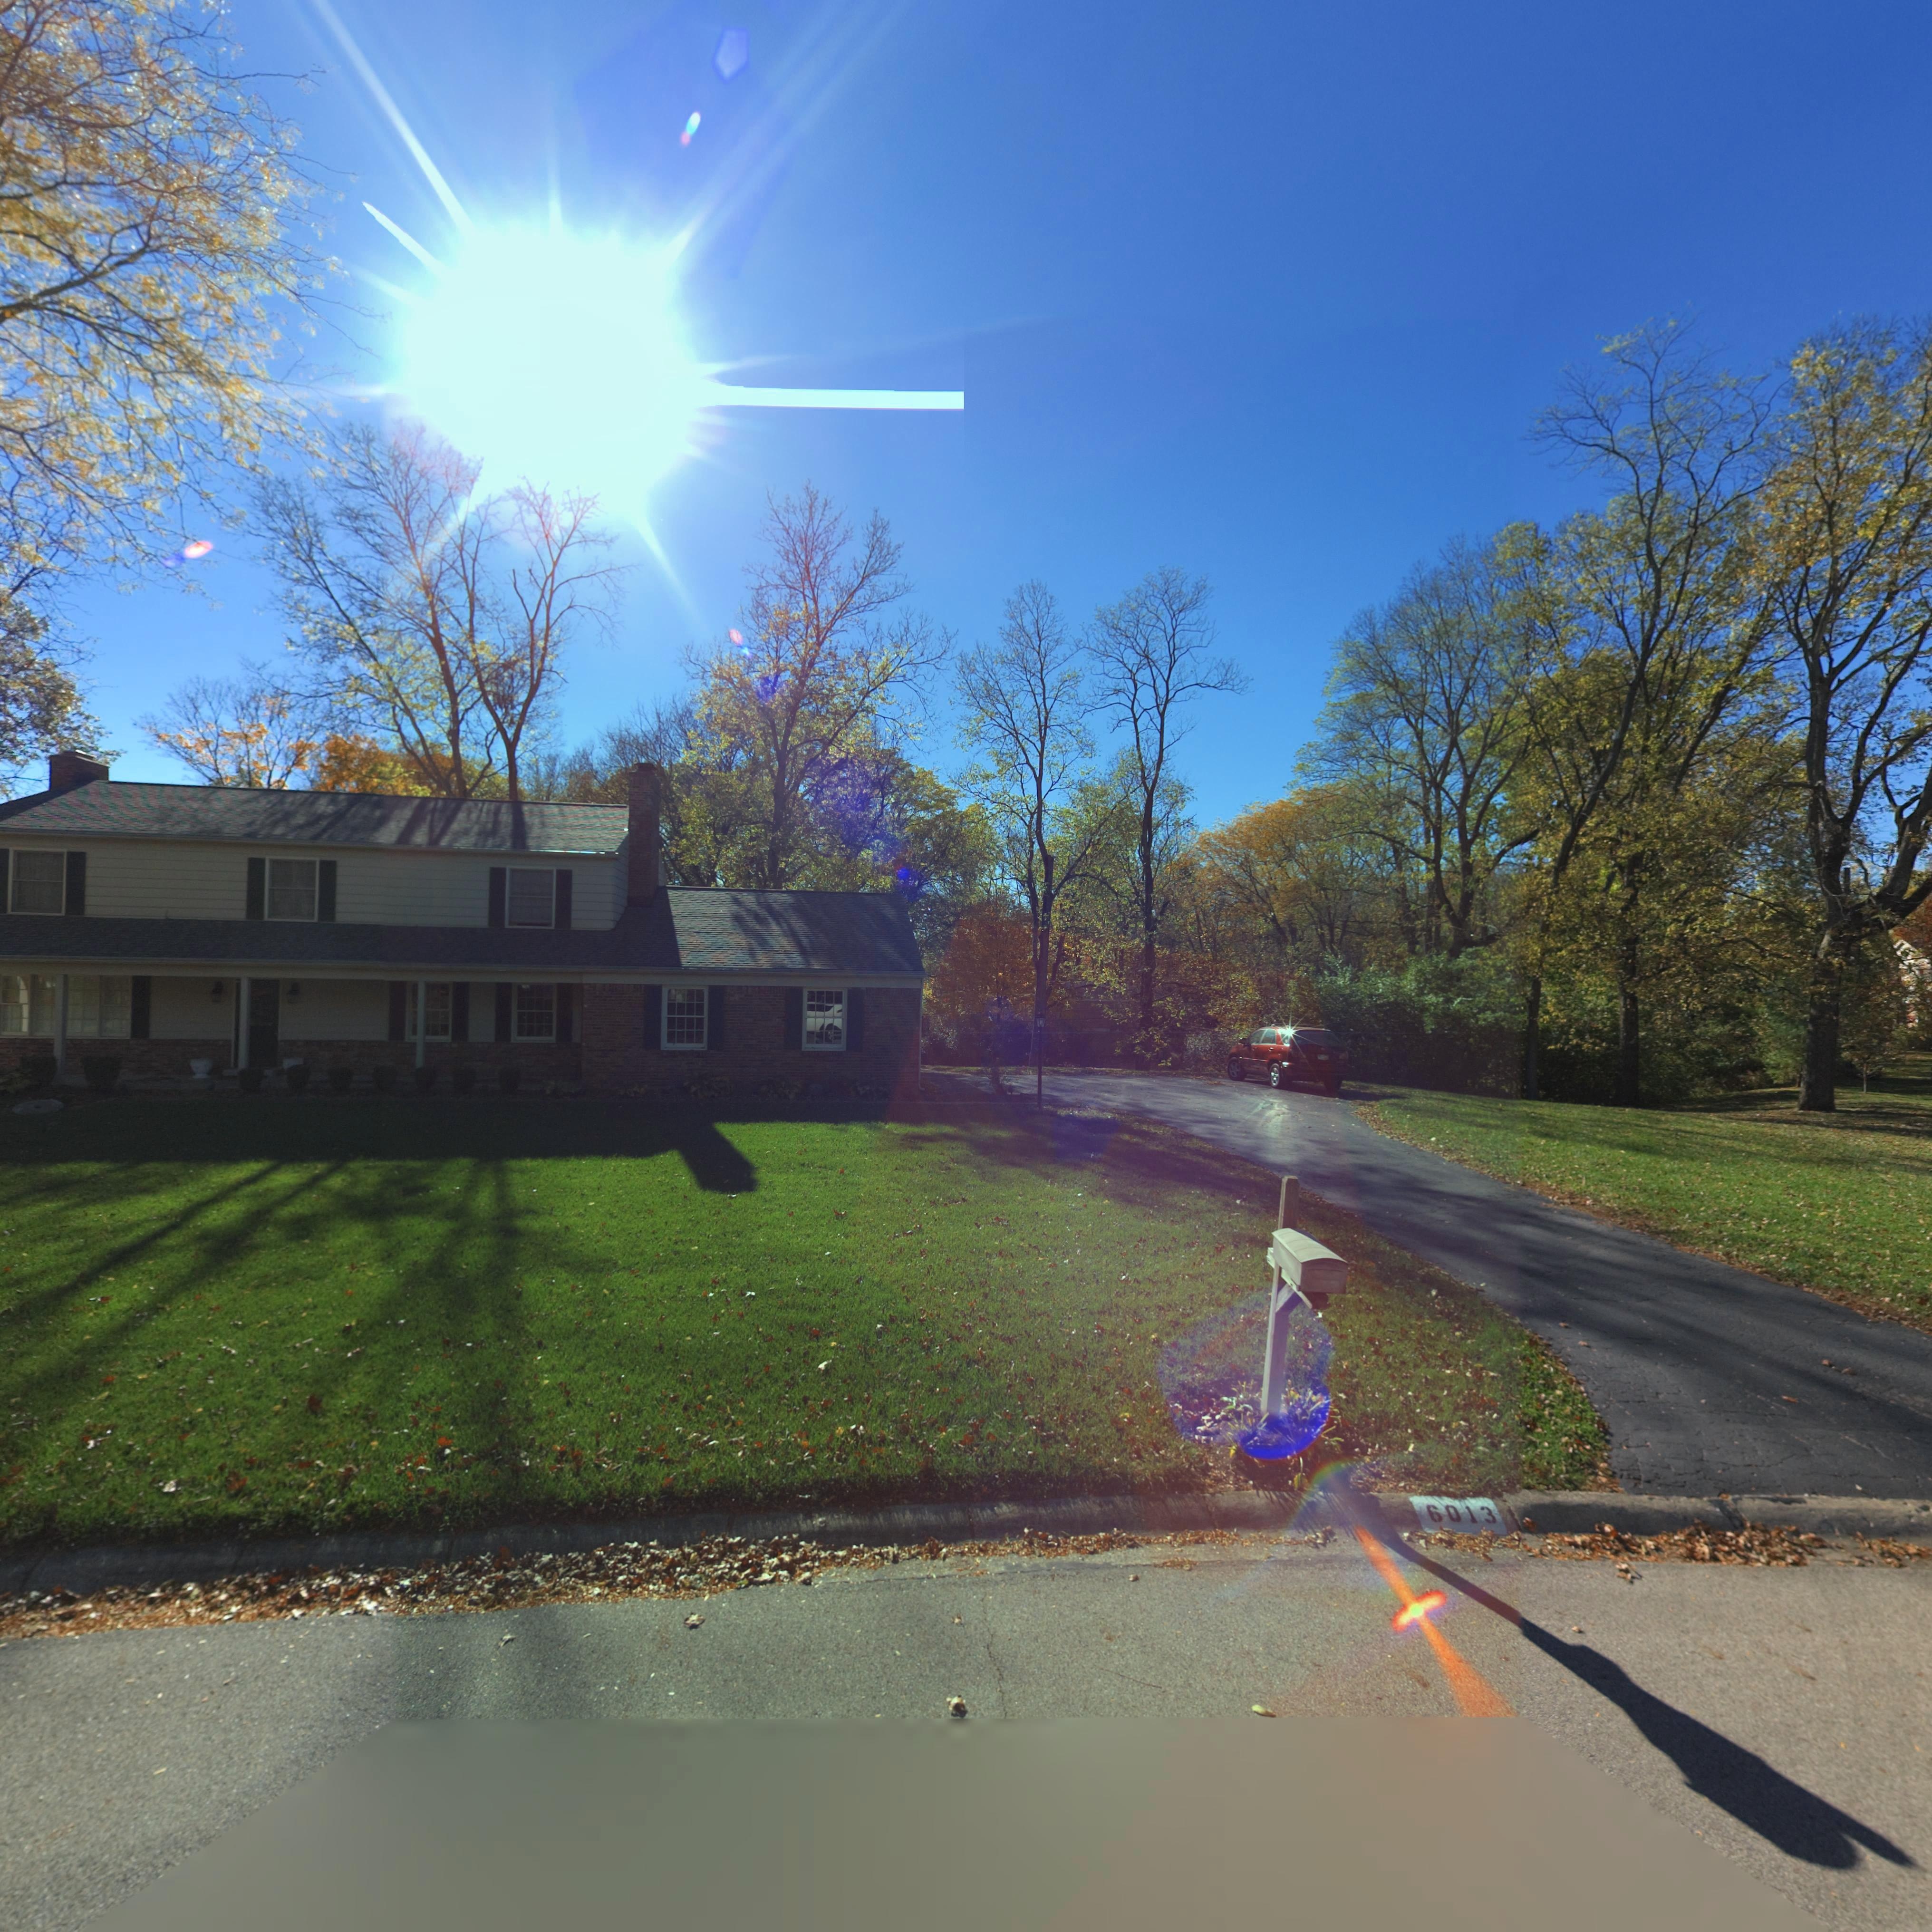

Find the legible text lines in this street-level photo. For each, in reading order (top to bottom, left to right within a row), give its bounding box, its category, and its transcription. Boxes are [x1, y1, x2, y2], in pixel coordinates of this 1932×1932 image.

[1423, 1502, 1497, 1525] StreetNumber: 6013